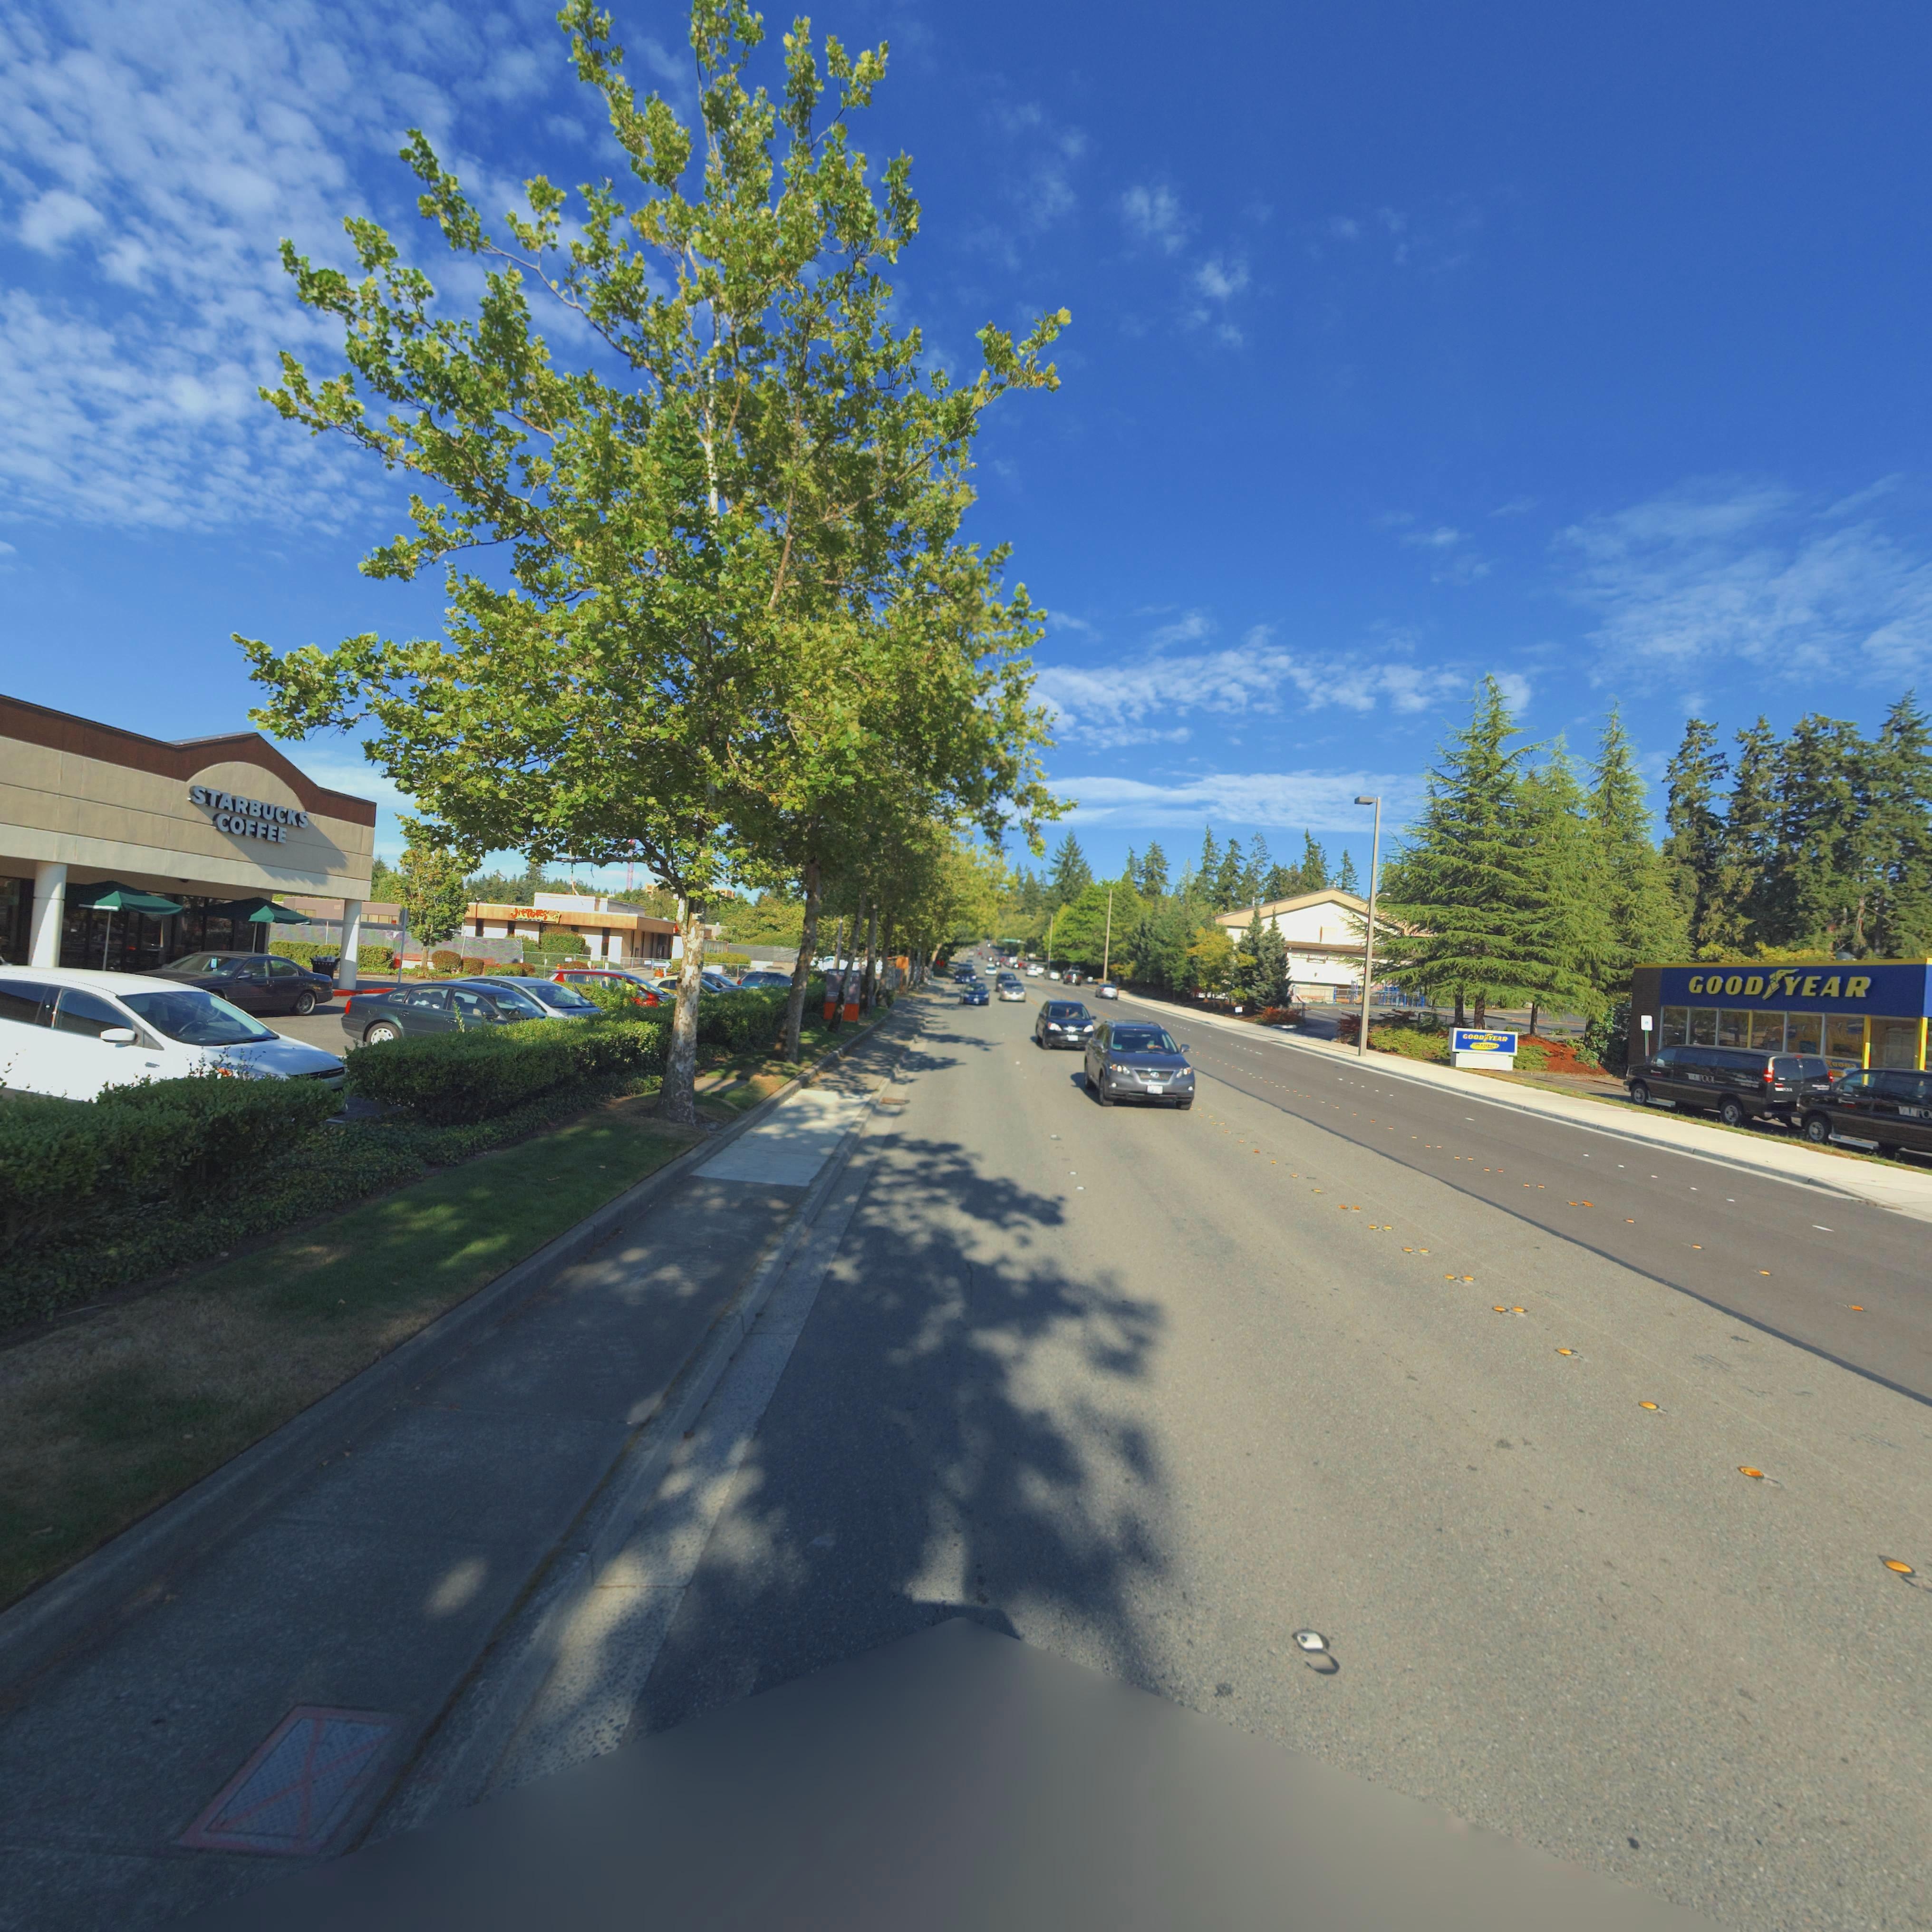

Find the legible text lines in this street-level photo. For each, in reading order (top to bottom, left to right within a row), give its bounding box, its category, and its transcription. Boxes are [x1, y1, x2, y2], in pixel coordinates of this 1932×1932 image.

[186, 783, 306, 829] BusinessName: STARBUCKS
[216, 811, 288, 843] BusinessName: COFFEE
[509, 905, 550, 920] BusinessName: JitToRs
[1687, 975, 1873, 1001] BusinessName: GOOD*YEAR
[1461, 1030, 1509, 1042] BusinessName: GOOD*YEAR